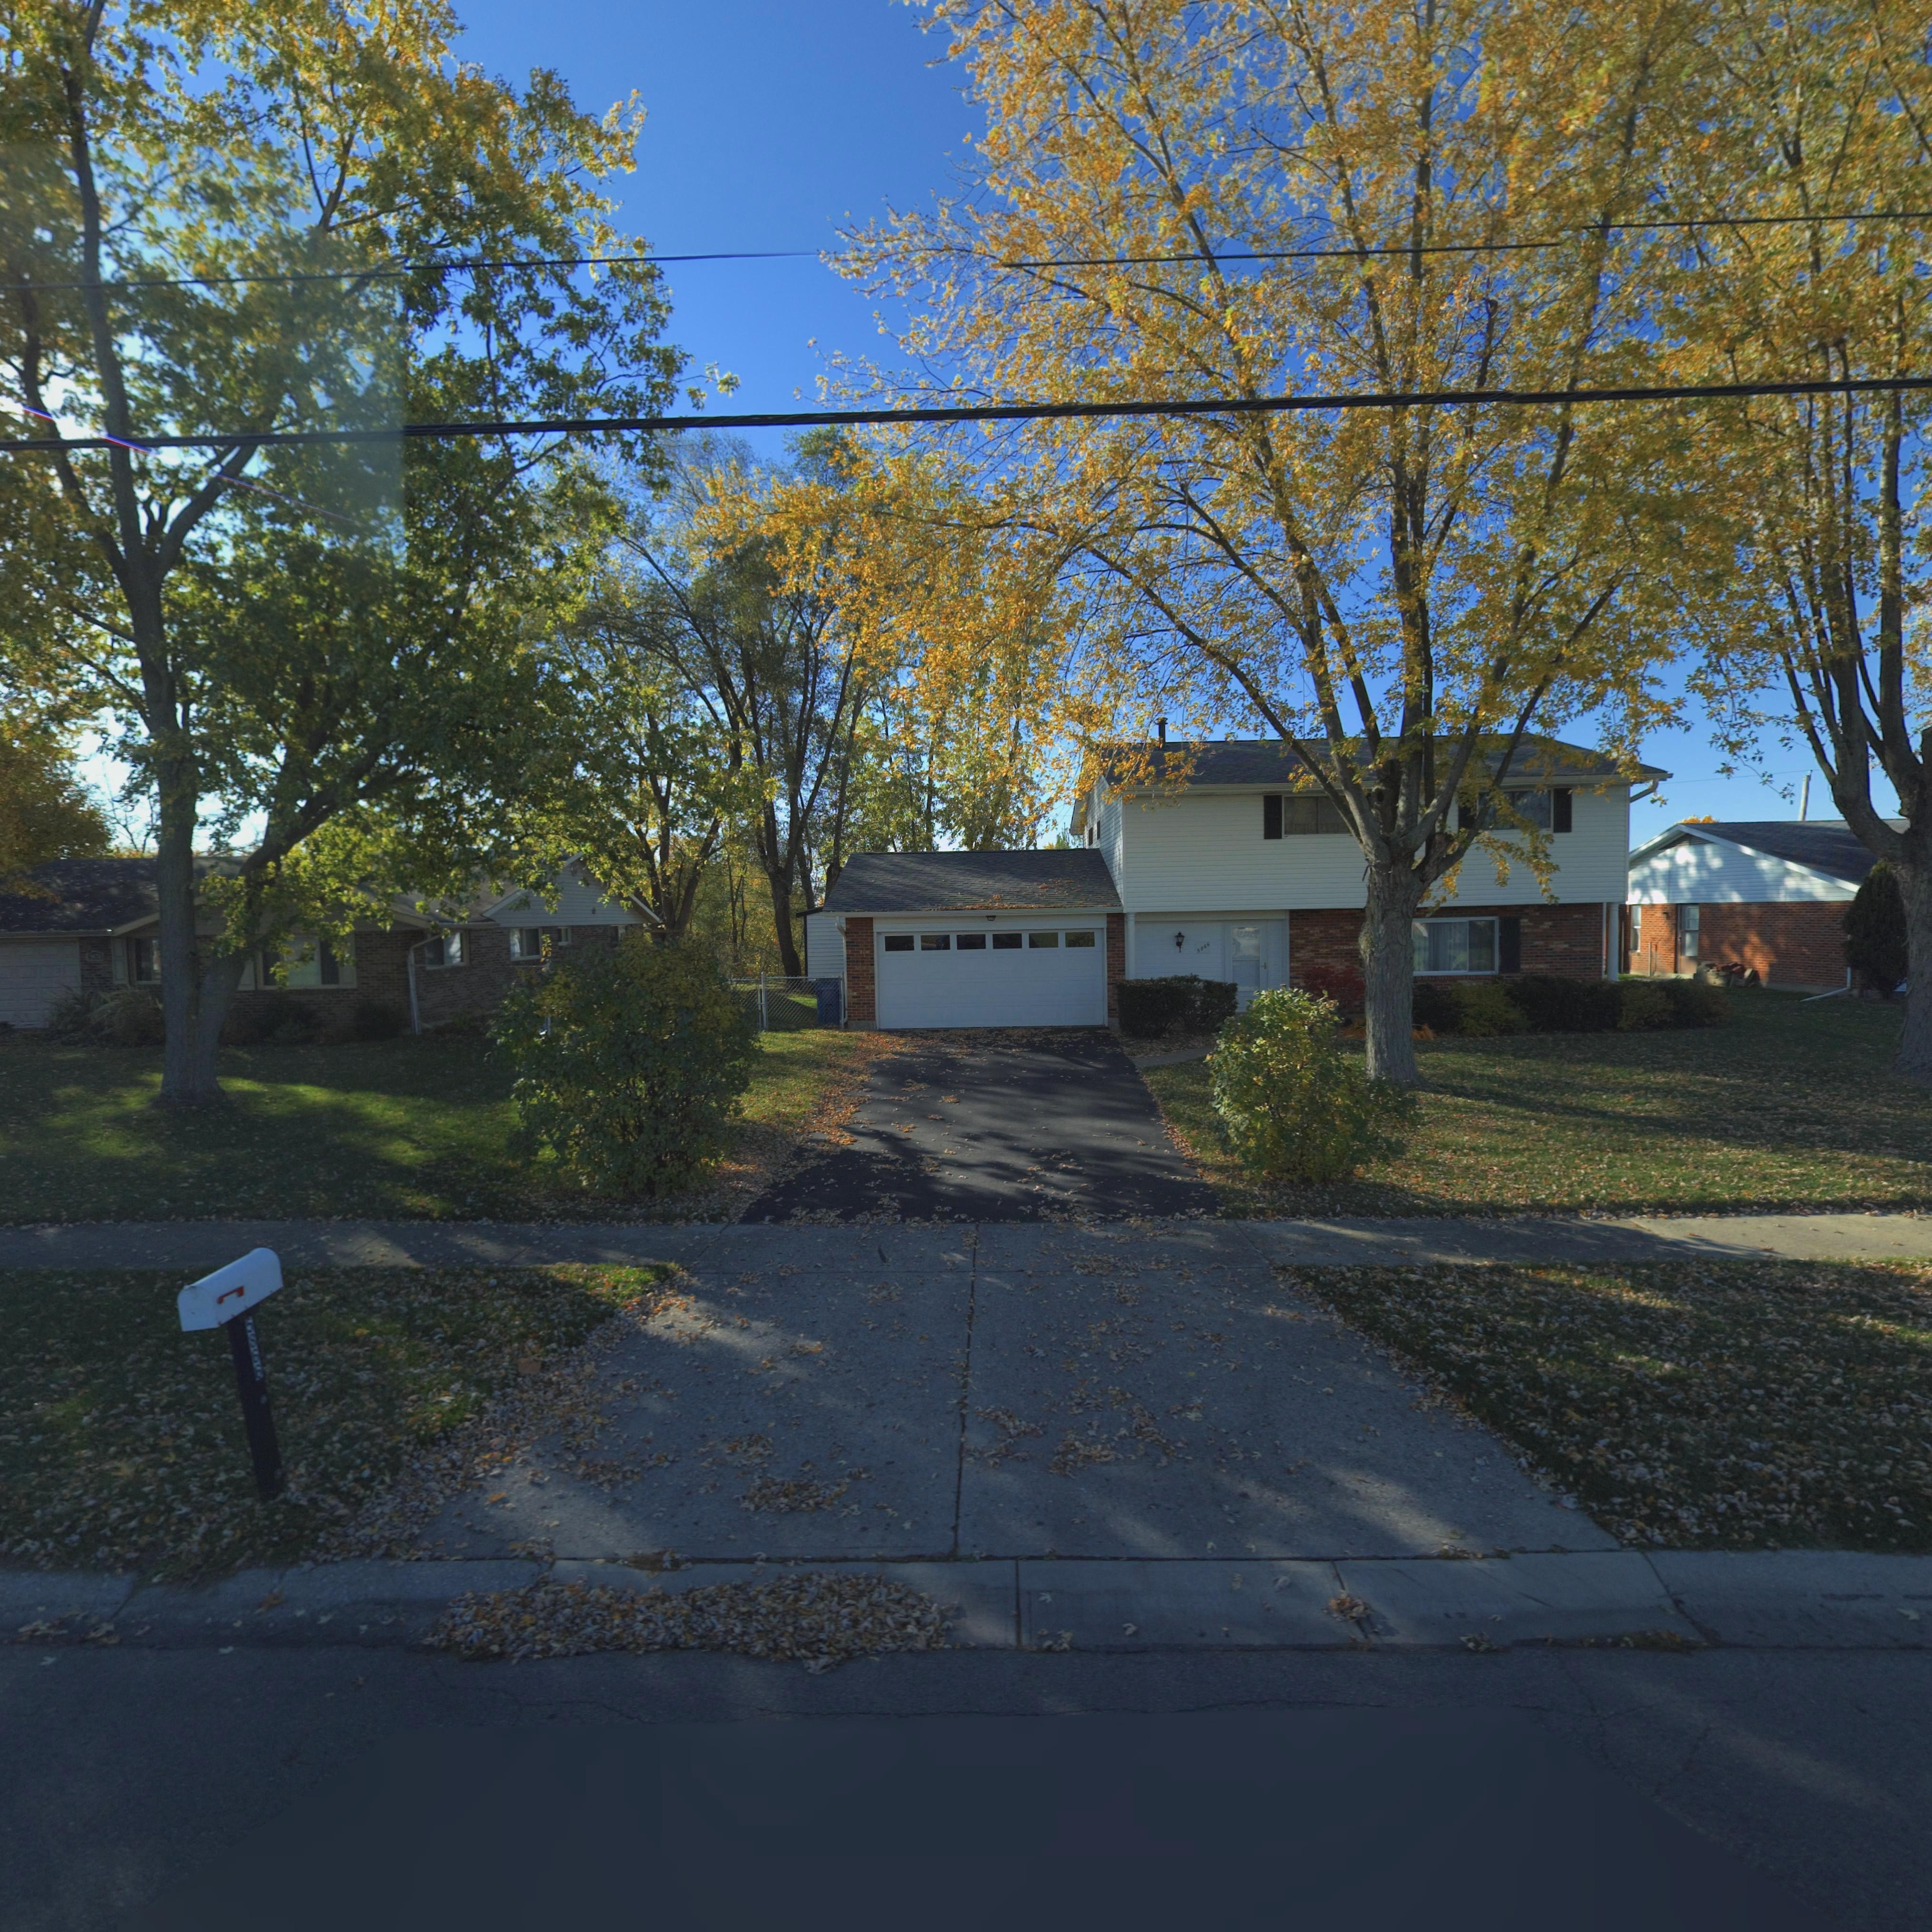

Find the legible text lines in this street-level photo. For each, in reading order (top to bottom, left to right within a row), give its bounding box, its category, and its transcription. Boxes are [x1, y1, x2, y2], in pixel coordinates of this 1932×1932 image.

[1196, 941, 1210, 953] StreetNumber: 5866
[244, 1315, 263, 1382] StreetNumber: 5866